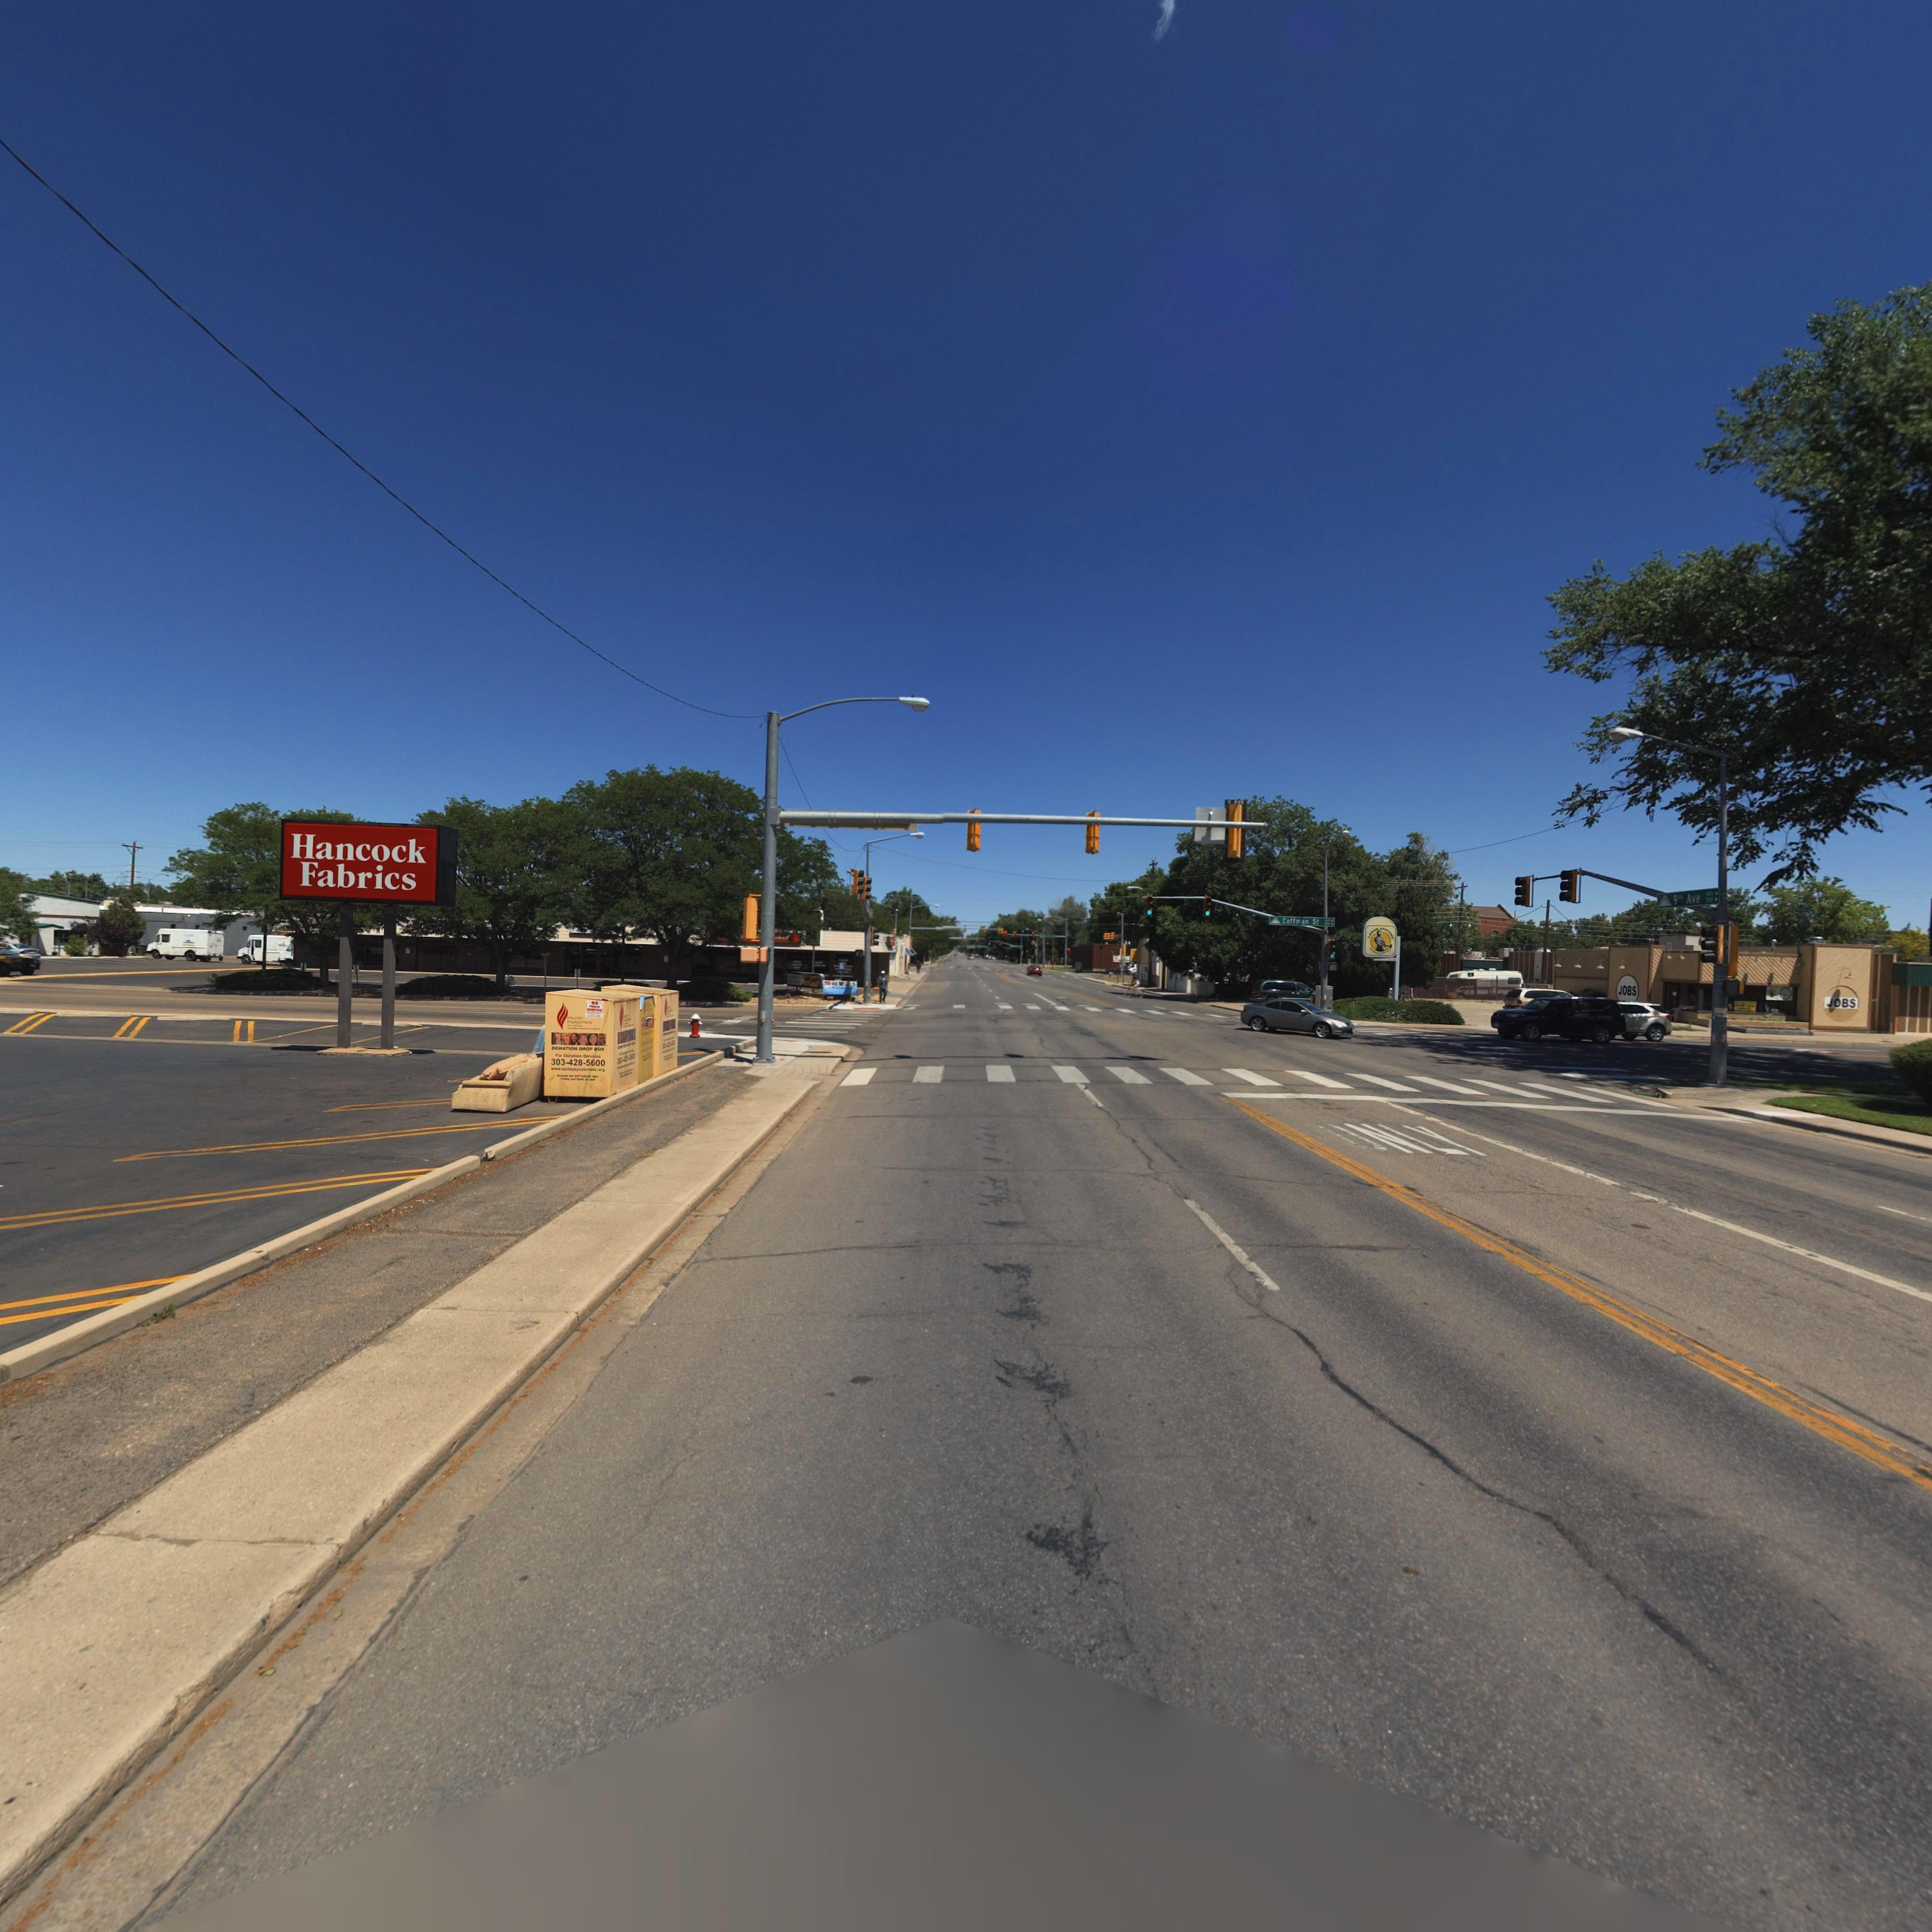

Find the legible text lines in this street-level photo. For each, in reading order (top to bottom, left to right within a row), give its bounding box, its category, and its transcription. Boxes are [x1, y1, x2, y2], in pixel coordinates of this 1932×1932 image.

[290, 832, 427, 863] BusinessName: Hancock
[299, 861, 417, 890] BusinessName: Fabrics
[1705, 890, 1714, 897] StreetNumberRange: 800
[1672, 893, 1700, 905] StreetName: 9th Ave
[1705, 896, 1718, 902] StreetNumberRange: 700 ->
[1282, 918, 1319, 925] StreetName: Coffman St
[1324, 918, 1330, 922] StreetNumberRange: 600
[1324, 922, 1333, 925] StreetNumberRange: 800 ->
[773, 933, 791, 939] BusinessName: ran*
[1367, 927, 1393, 938] BusinessName: LABOR SYSTEMS